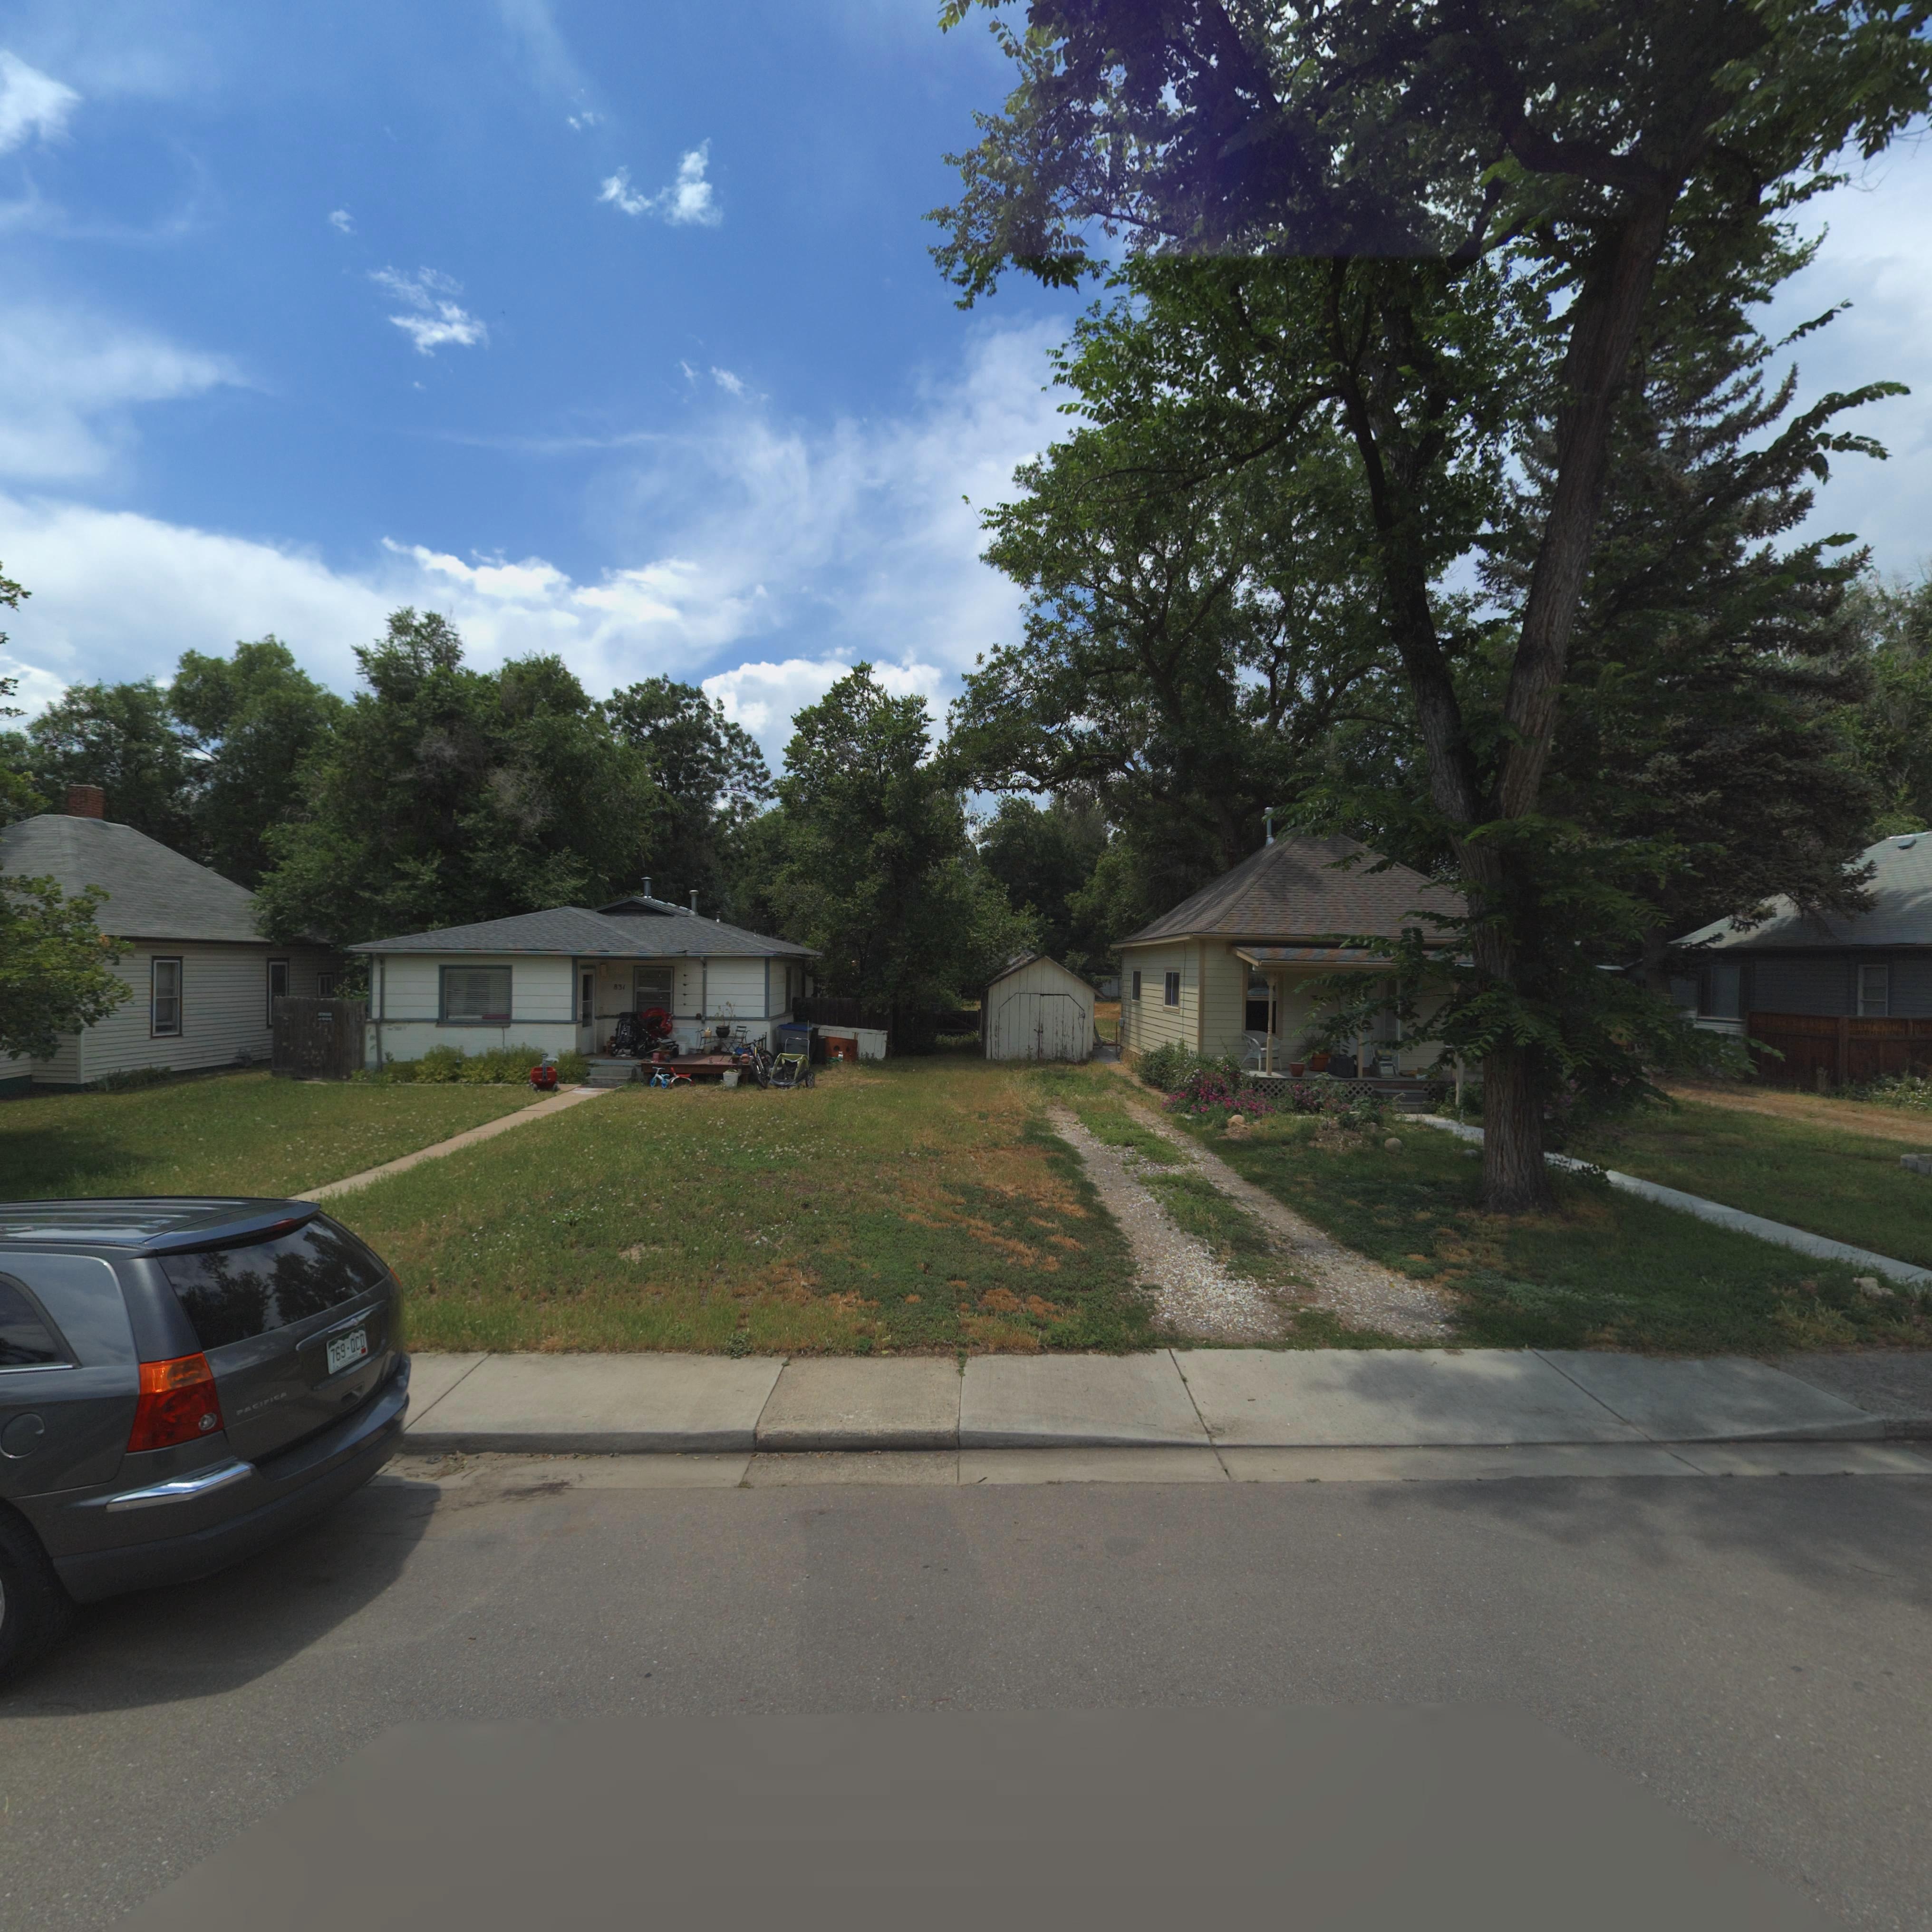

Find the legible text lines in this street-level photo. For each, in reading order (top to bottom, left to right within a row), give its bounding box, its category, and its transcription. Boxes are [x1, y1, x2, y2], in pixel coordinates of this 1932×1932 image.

[613, 984, 625, 990] StreetNumber: 831